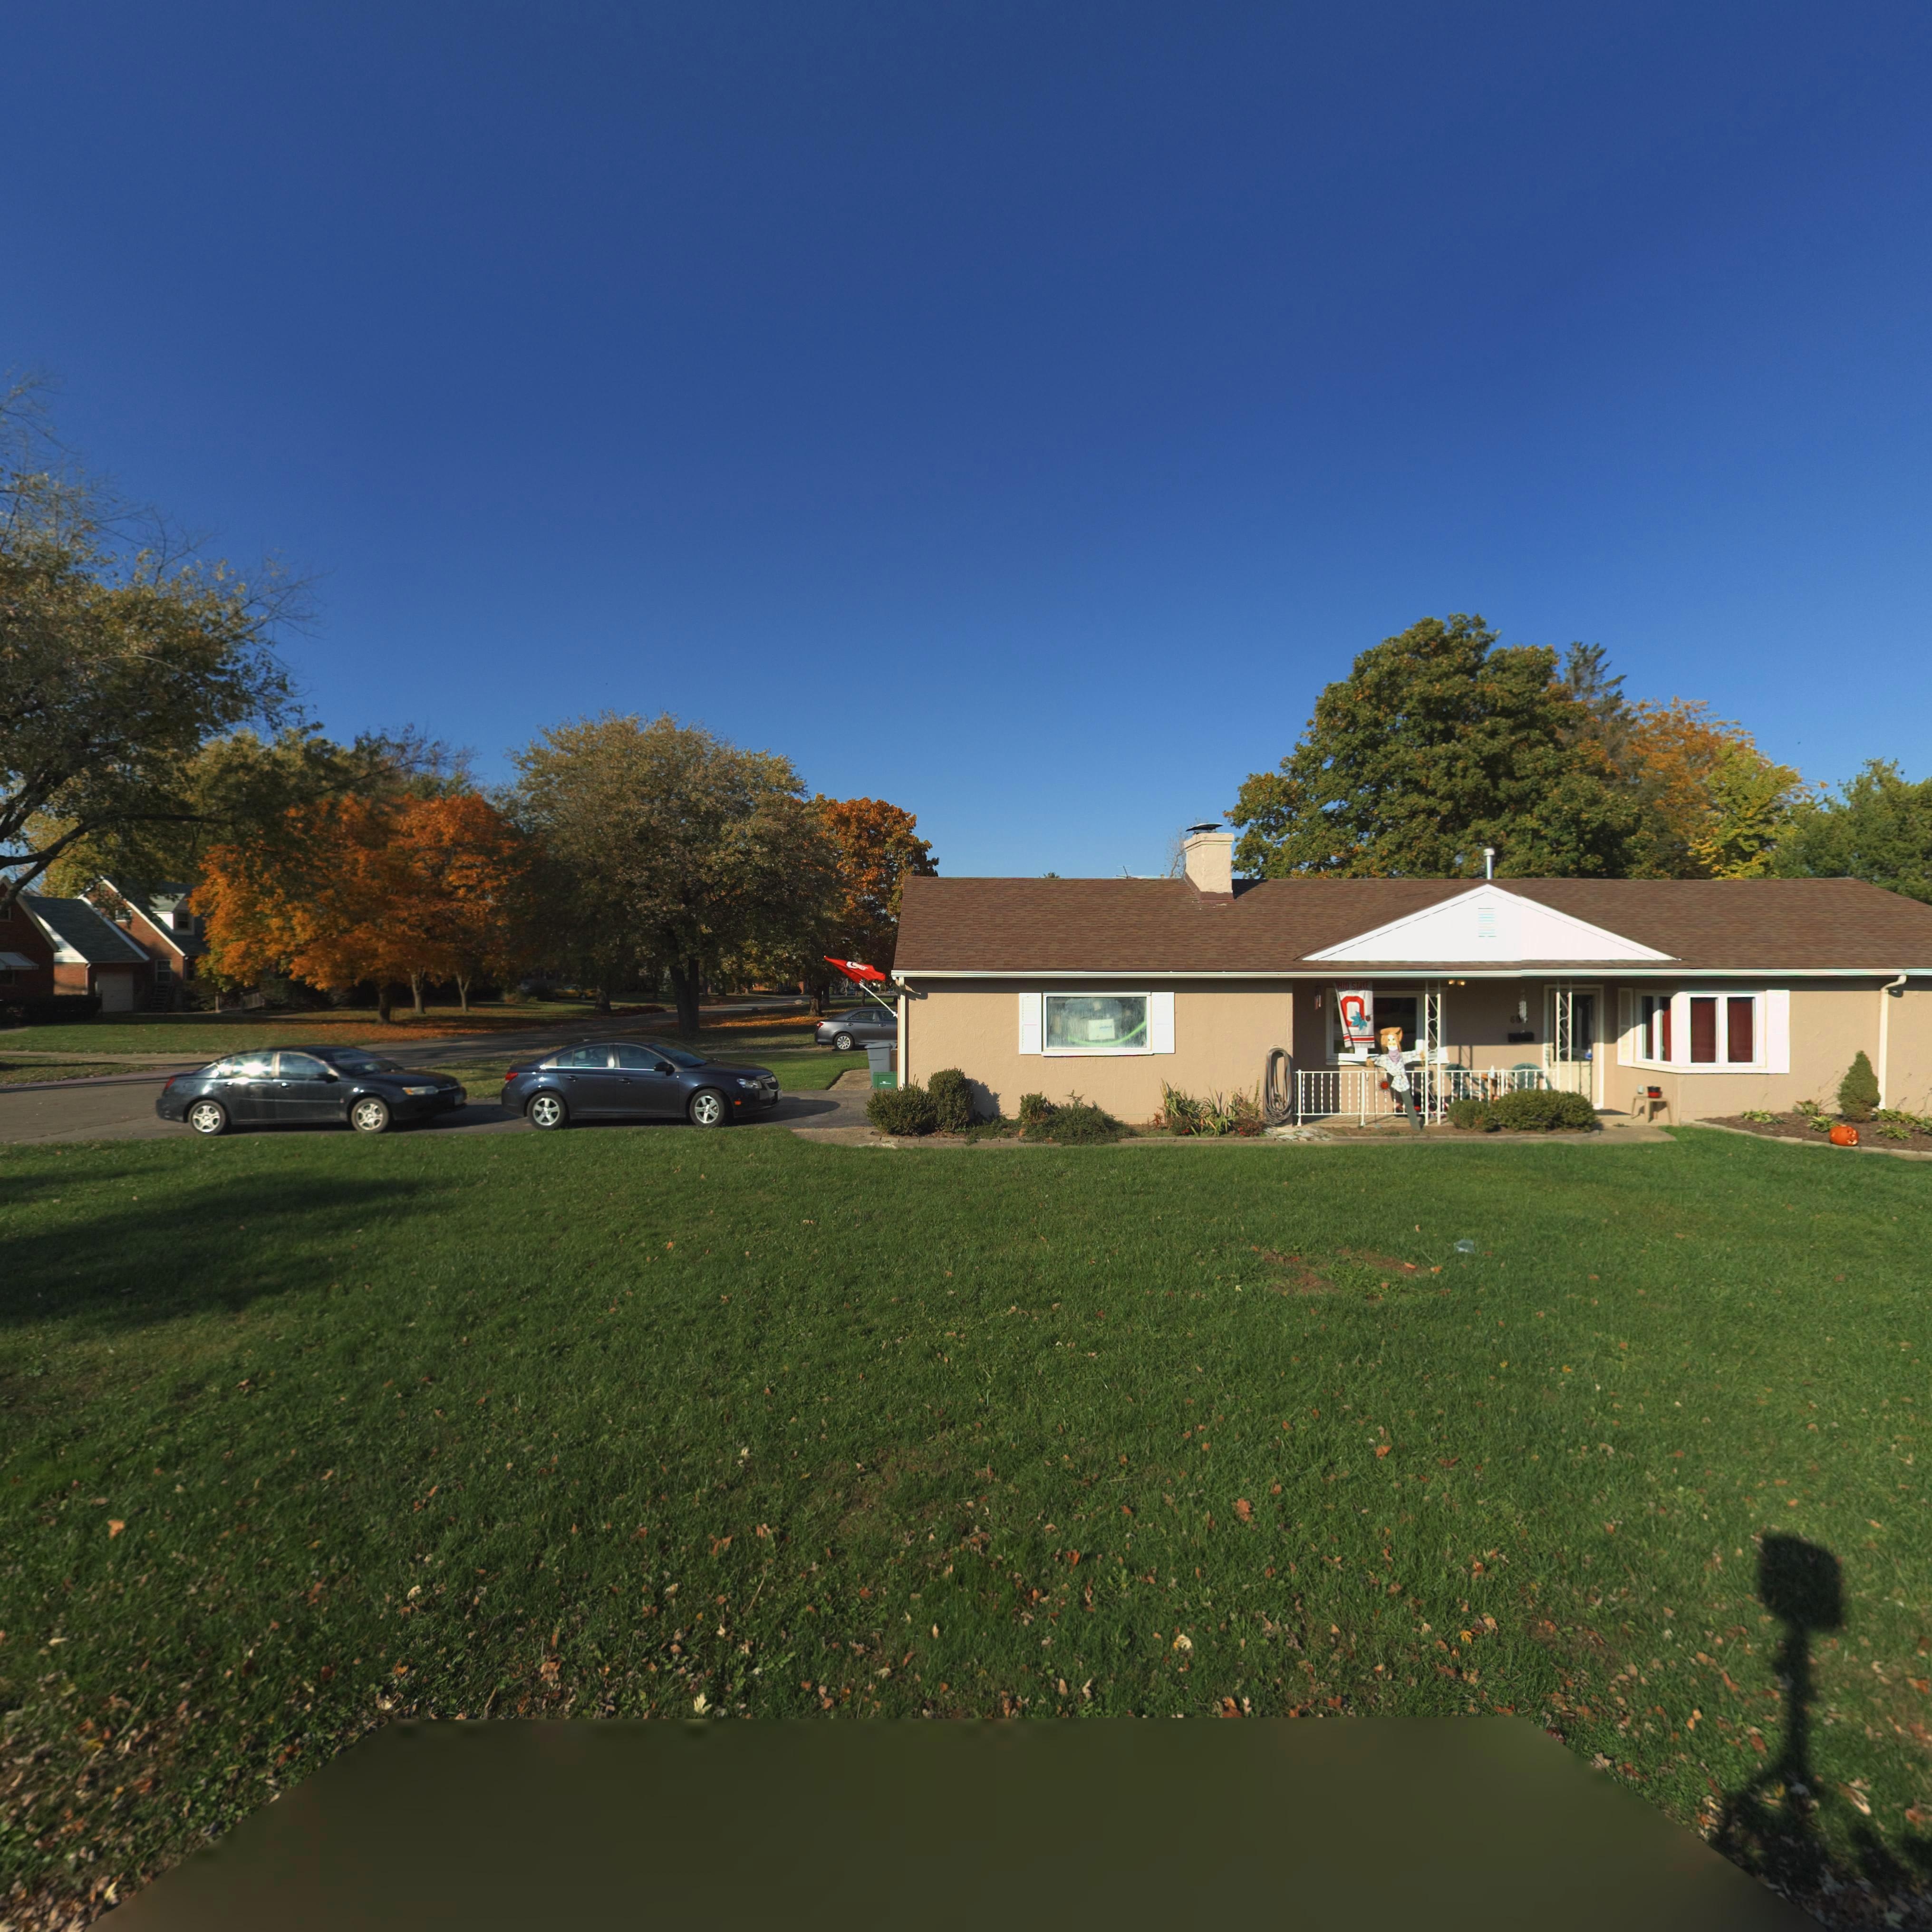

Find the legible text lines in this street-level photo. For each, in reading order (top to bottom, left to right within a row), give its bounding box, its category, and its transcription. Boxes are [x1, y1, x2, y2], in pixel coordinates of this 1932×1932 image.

[1509, 1014, 1529, 1024] StreetNumber: 60*